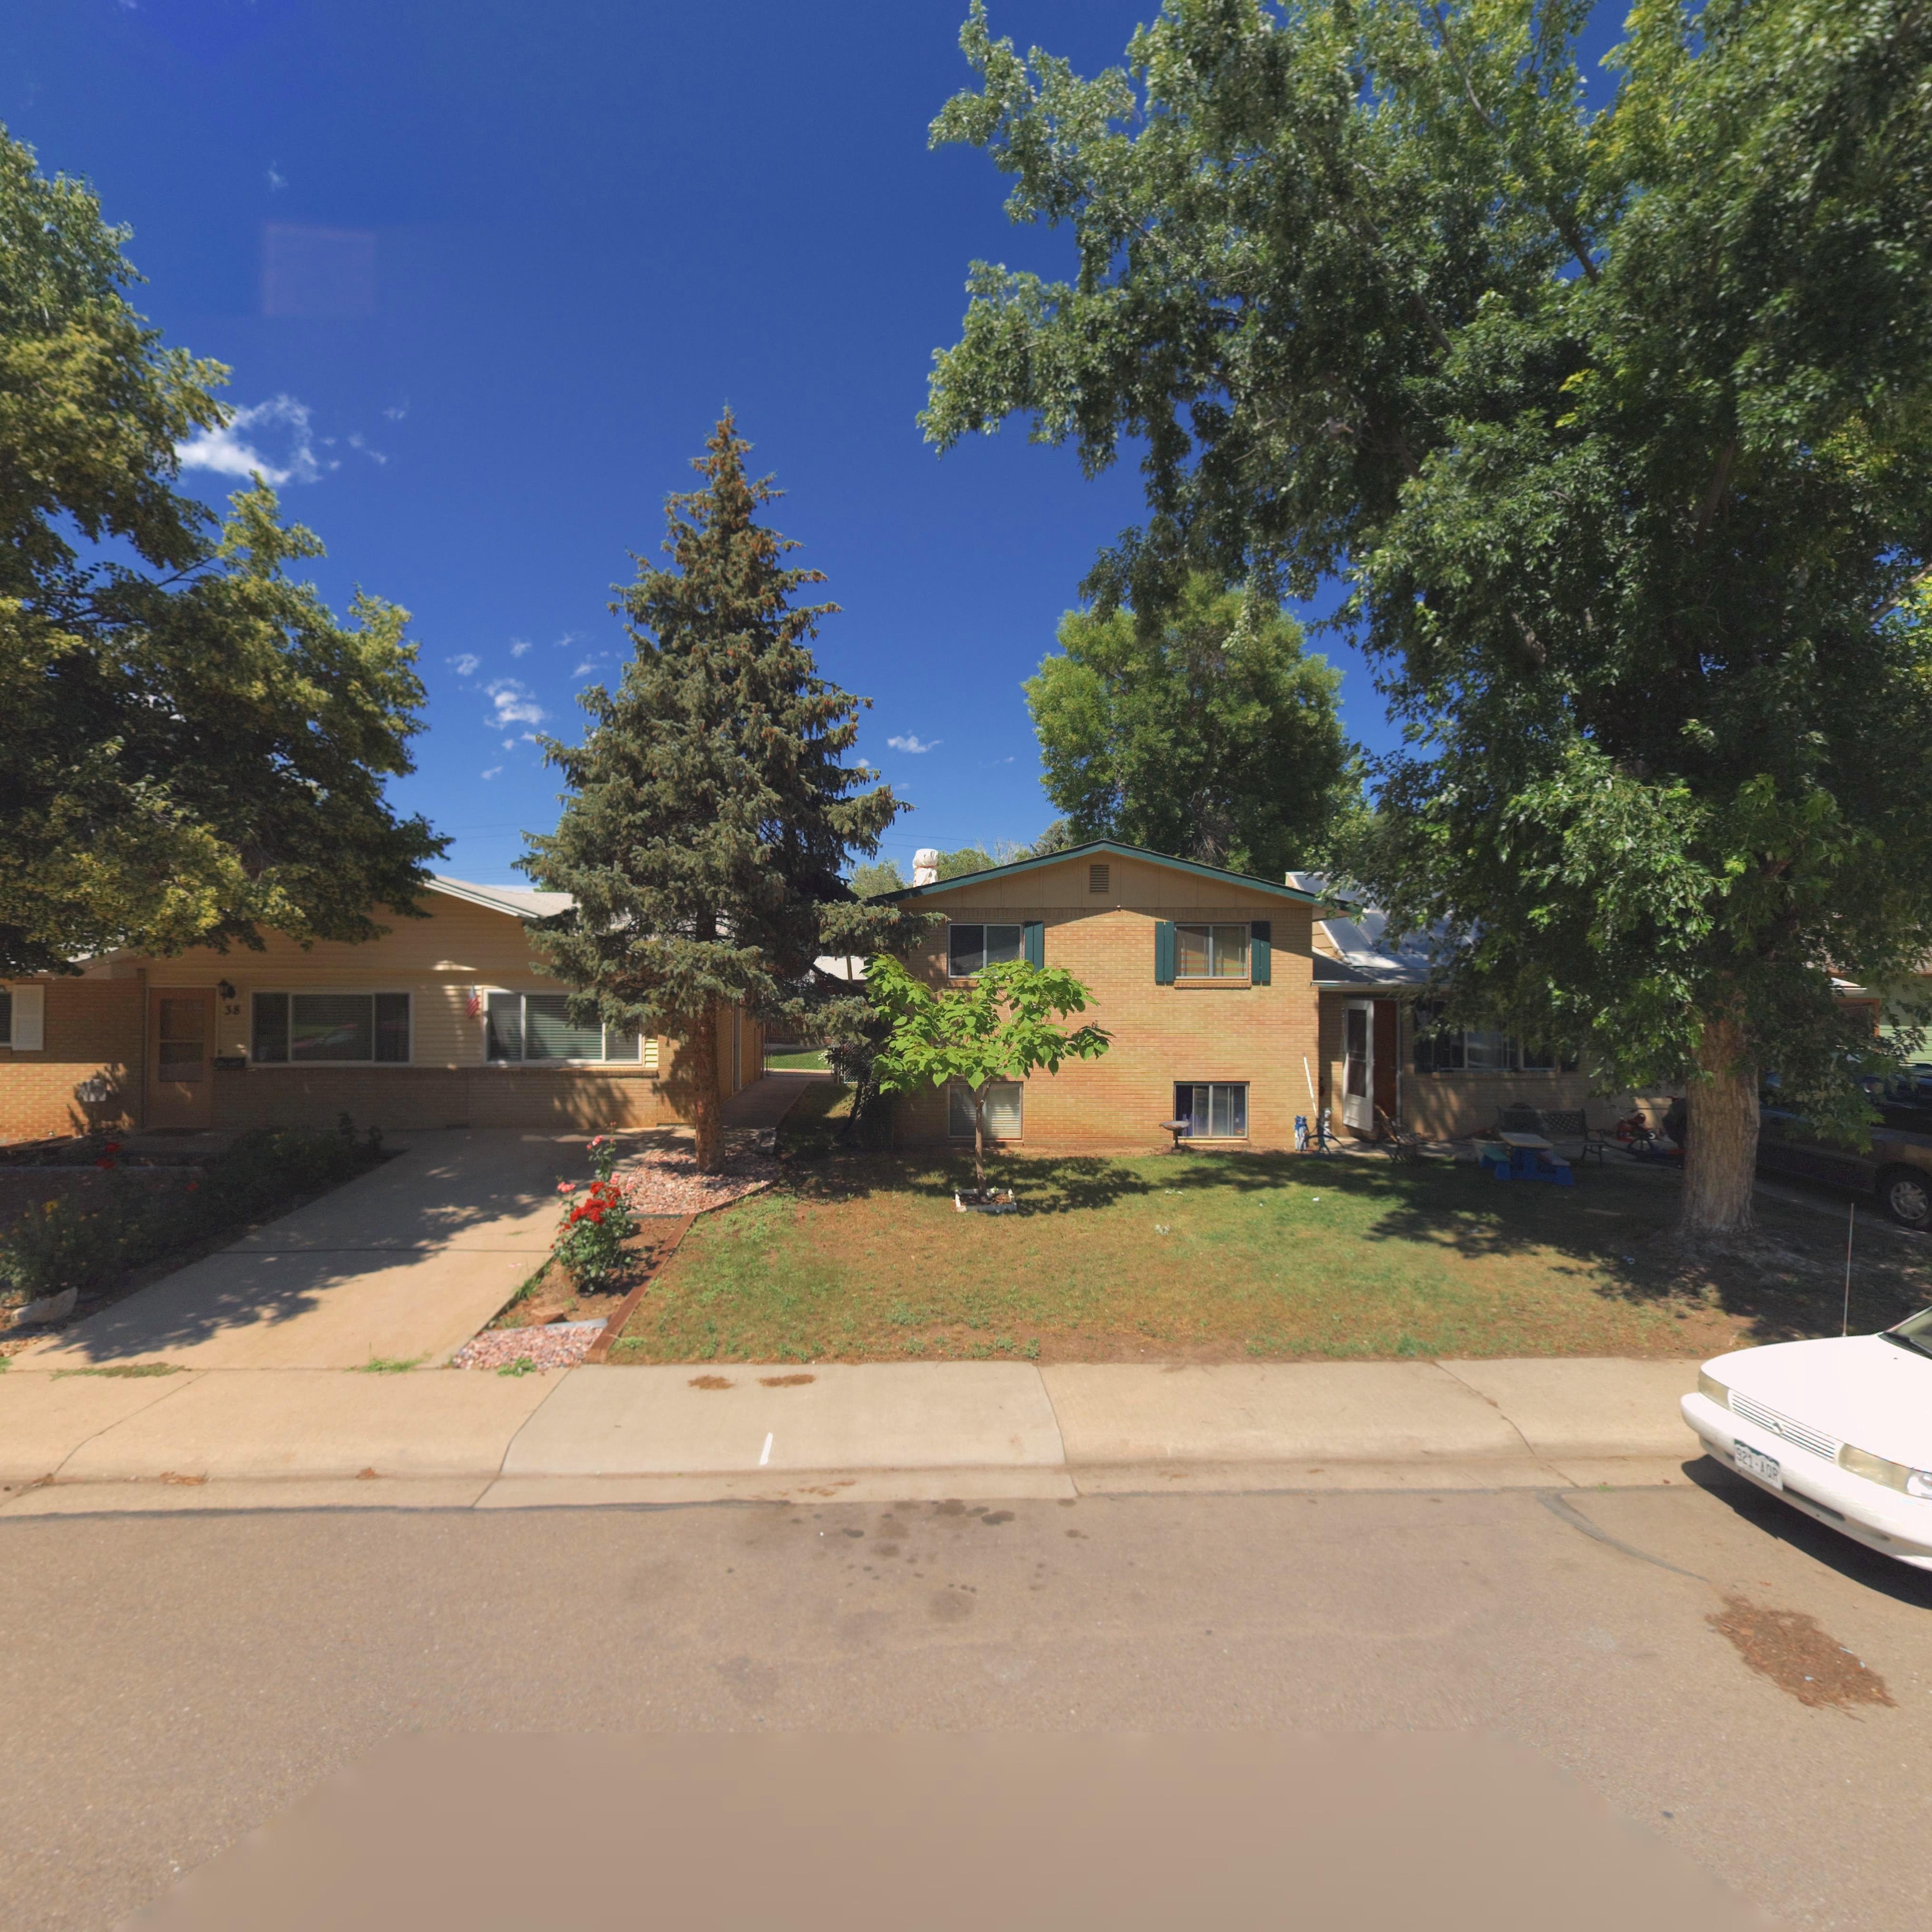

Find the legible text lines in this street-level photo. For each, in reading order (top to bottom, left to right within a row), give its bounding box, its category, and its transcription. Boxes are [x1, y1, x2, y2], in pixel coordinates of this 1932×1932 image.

[223, 1004, 240, 1016] StreetNumber: 38